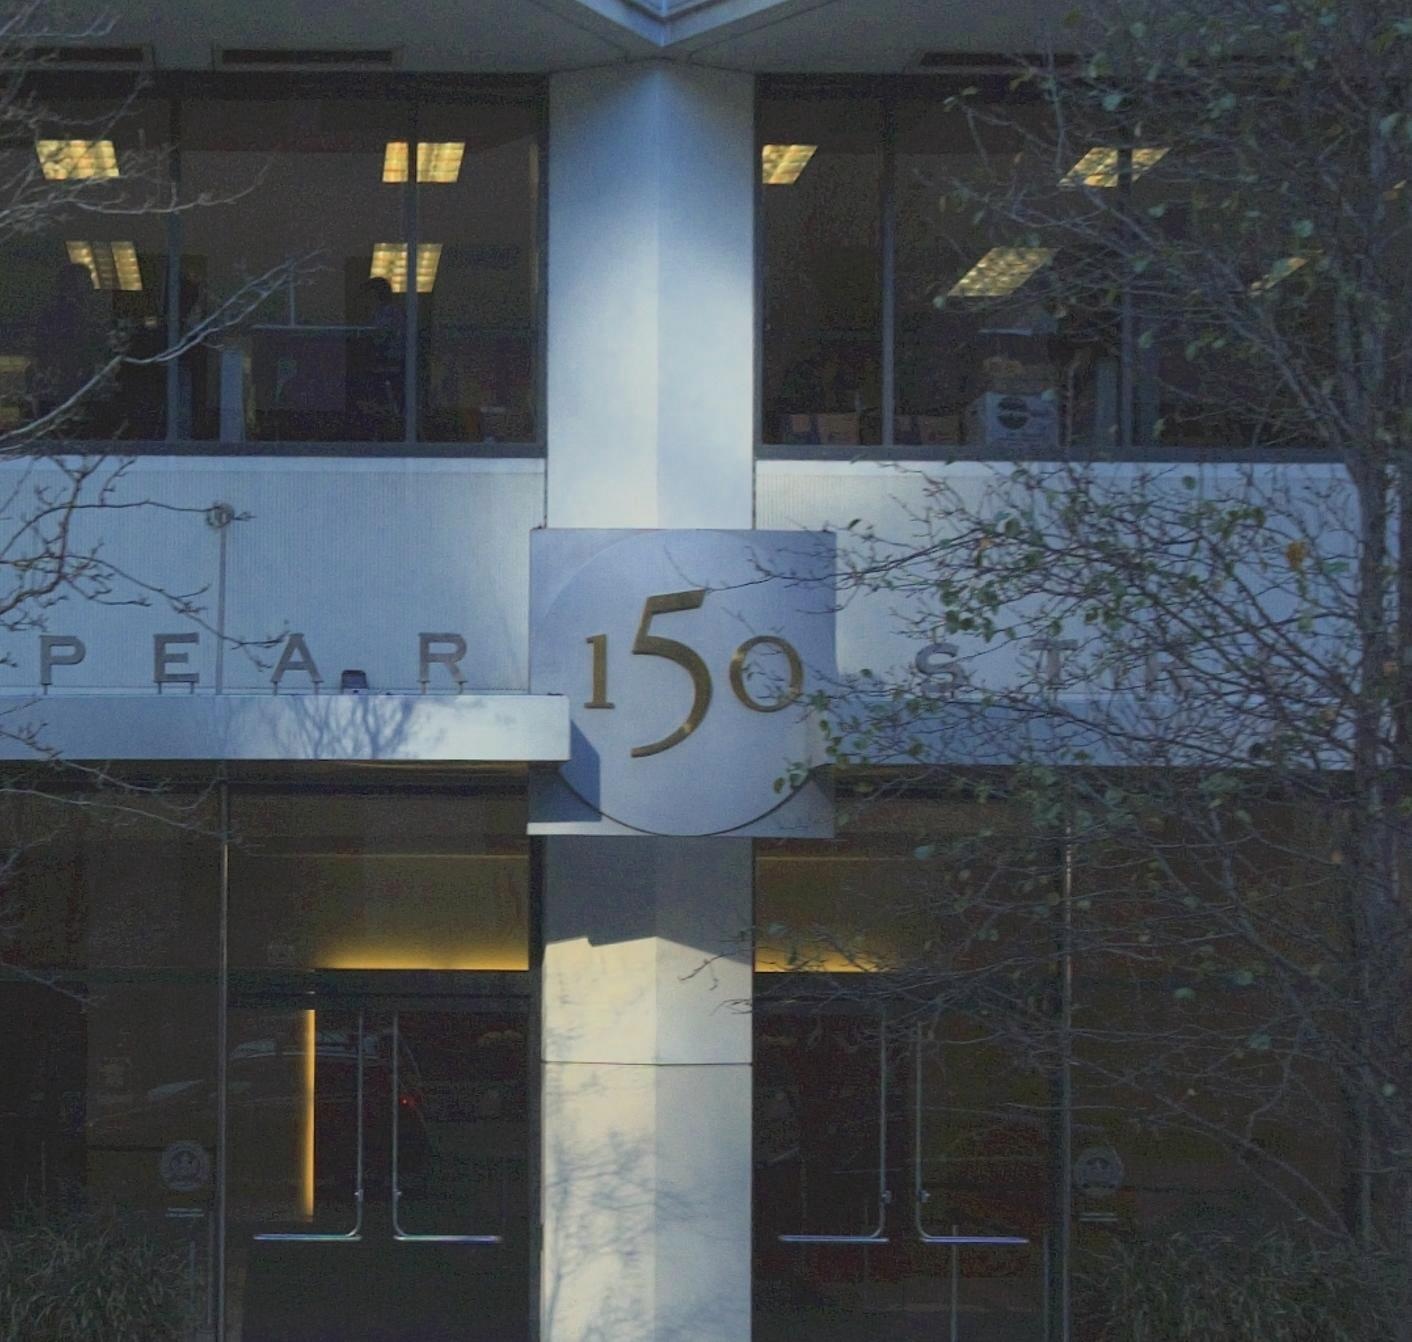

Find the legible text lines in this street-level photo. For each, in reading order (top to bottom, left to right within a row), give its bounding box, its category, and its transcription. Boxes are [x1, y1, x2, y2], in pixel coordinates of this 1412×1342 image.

[36, 631, 469, 686] StreetName: PEAR
[581, 585, 806, 764] StreetNumber: 150
[912, 637, 1311, 700] StreetName: ST**